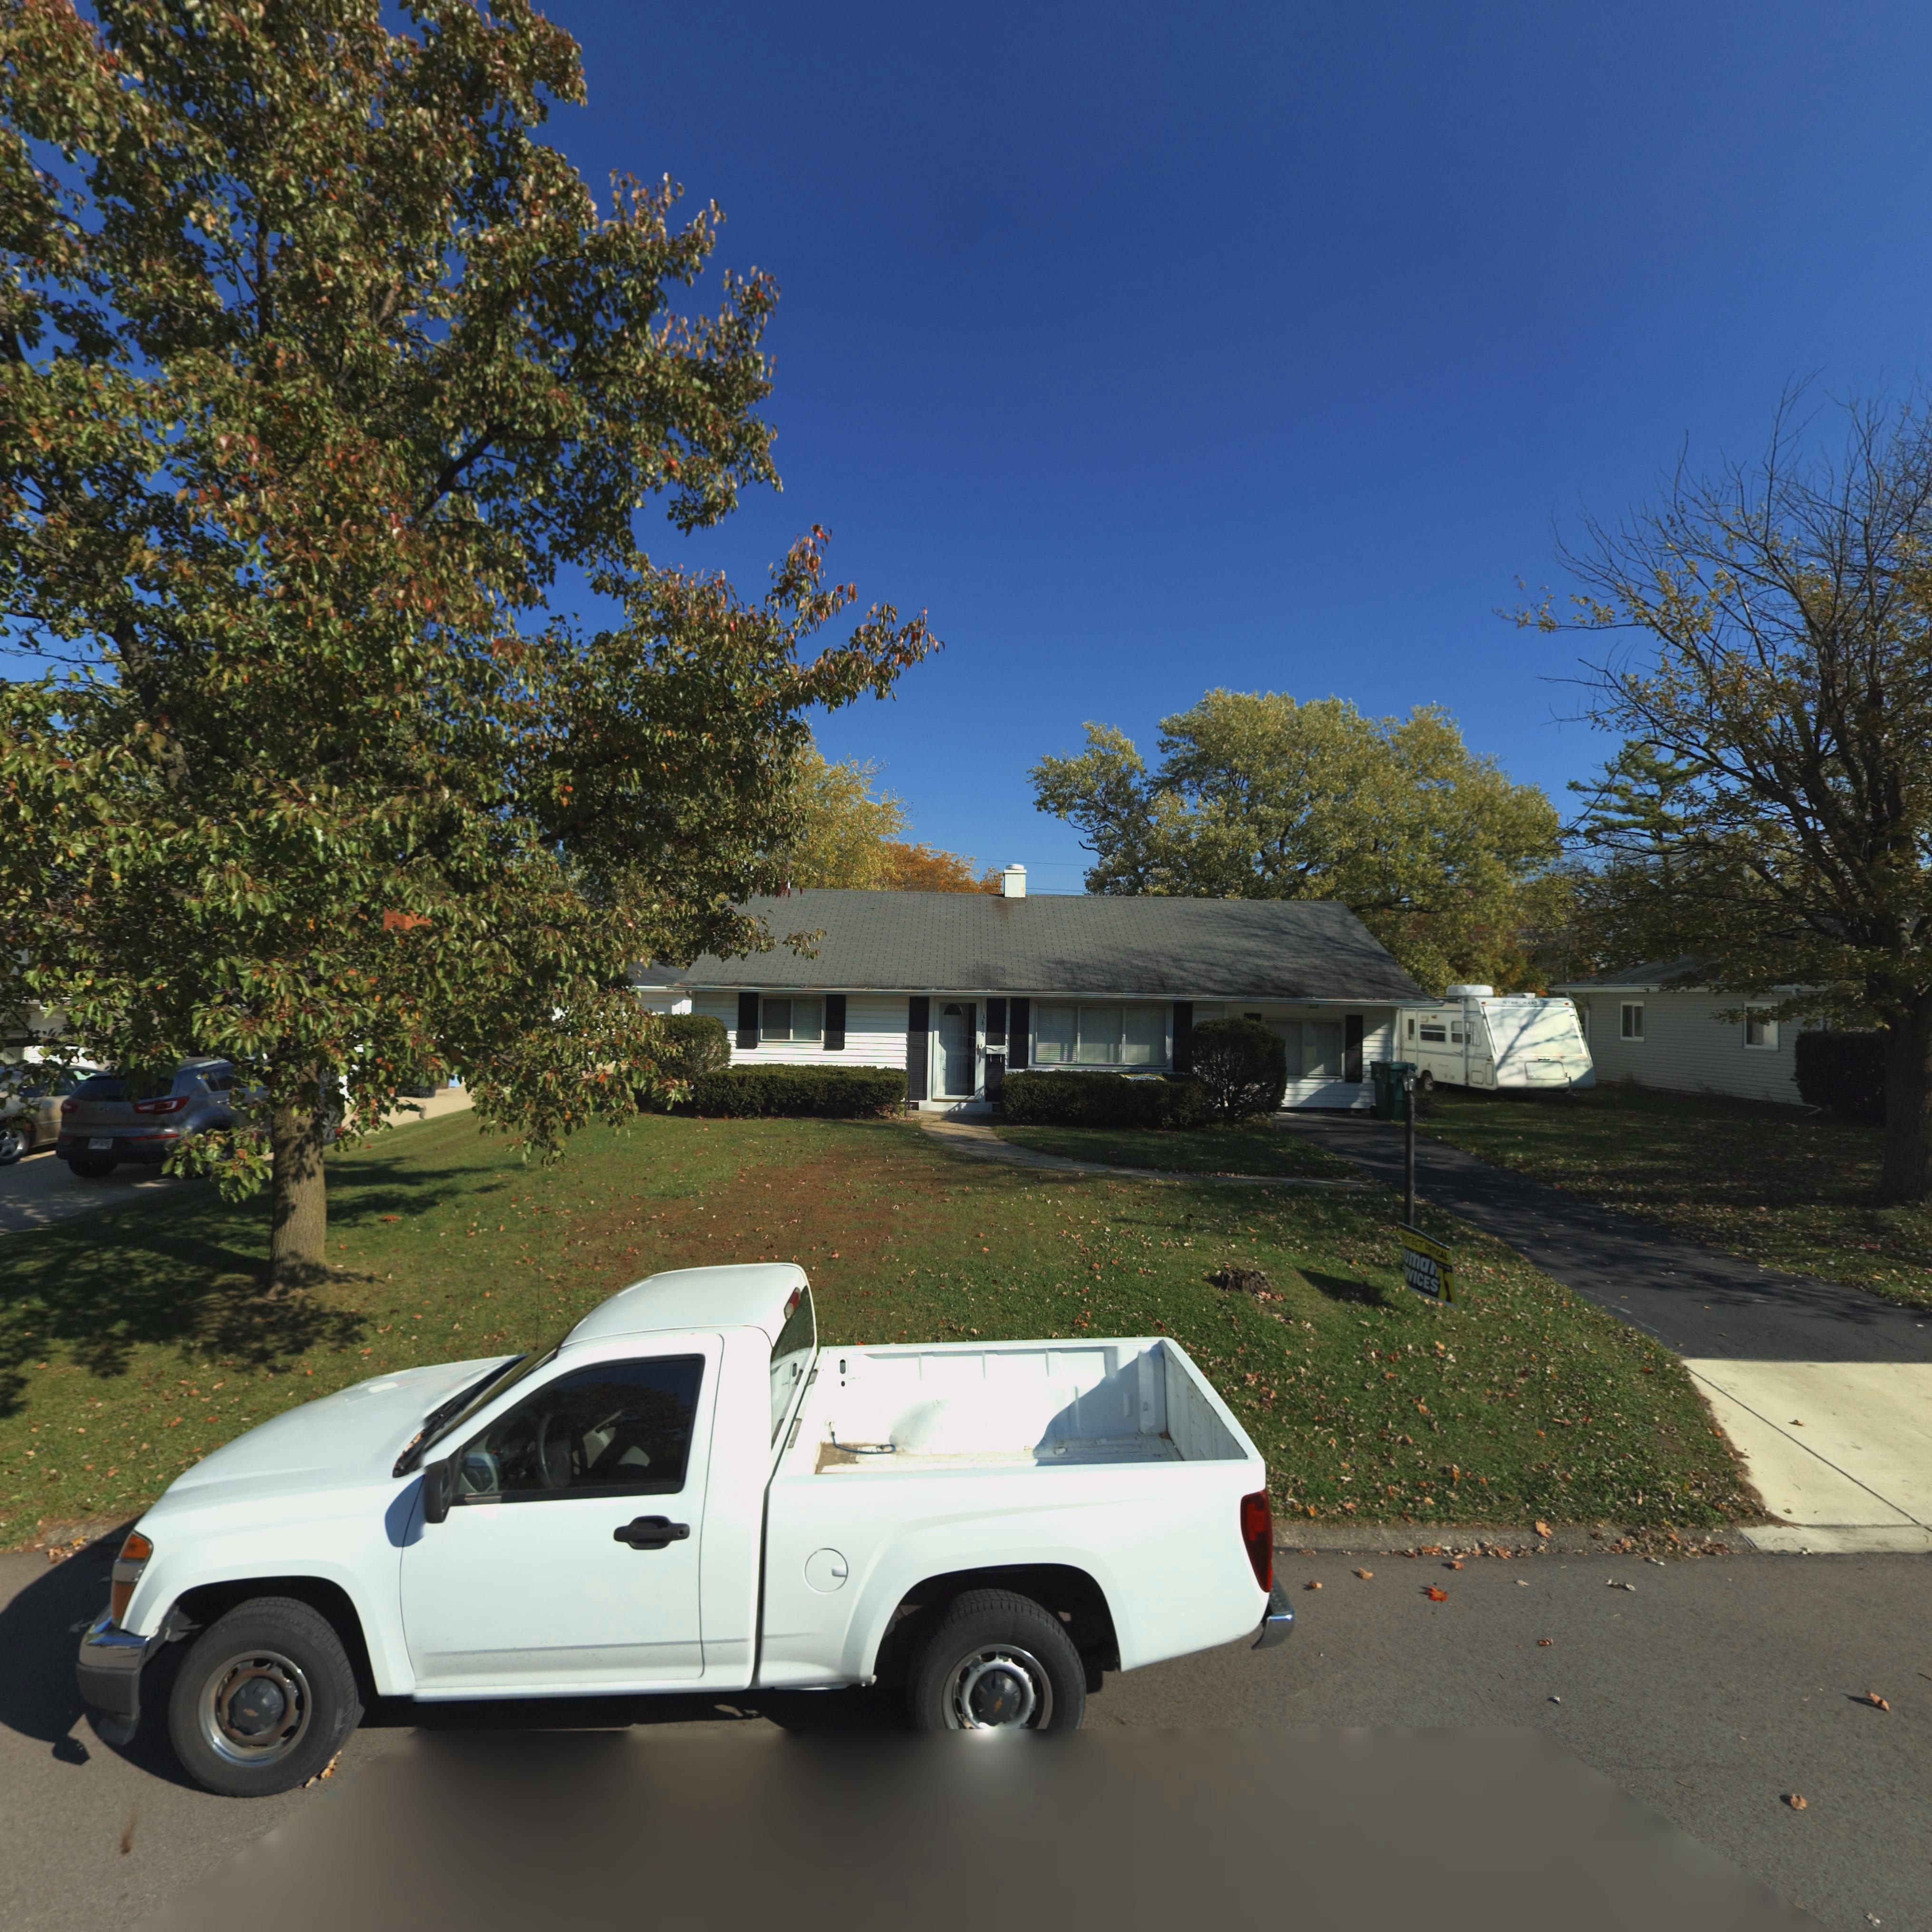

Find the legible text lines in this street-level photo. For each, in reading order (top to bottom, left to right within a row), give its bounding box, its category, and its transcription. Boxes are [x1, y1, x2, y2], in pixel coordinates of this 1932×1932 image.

[980, 1014, 986, 1038] StreetNumber: 3814
[1406, 1235, 1427, 1251] None: TECT
[1403, 1246, 1434, 1276] None: uma
[1407, 1265, 1441, 1295] None: VICES